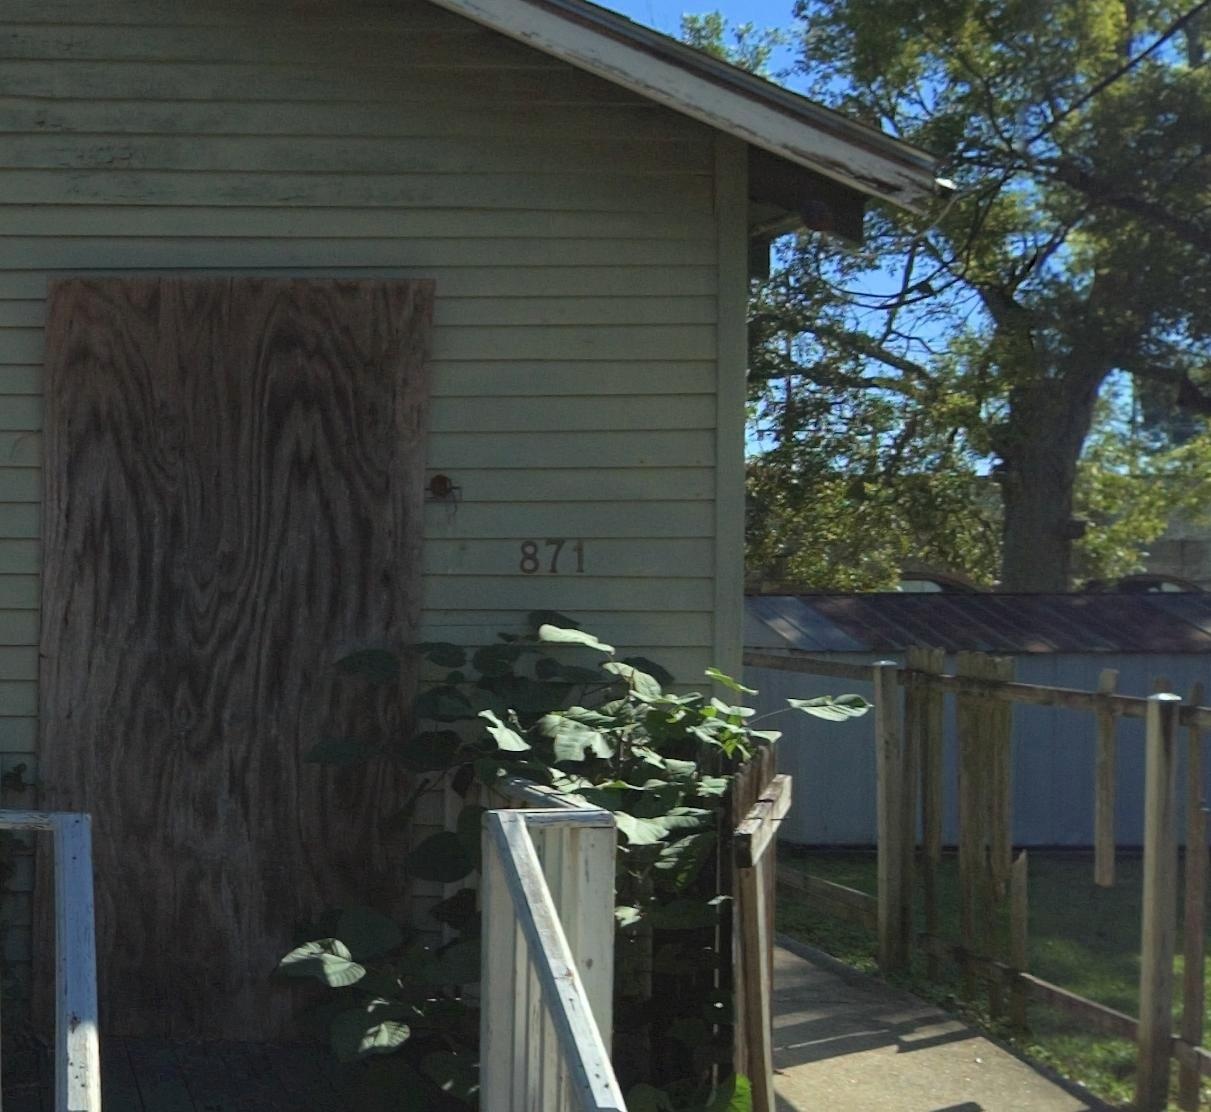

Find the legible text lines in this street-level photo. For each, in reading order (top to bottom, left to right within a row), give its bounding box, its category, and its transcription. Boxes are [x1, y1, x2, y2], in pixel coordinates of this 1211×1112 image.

[517, 536, 588, 577] StreetNumber: 871